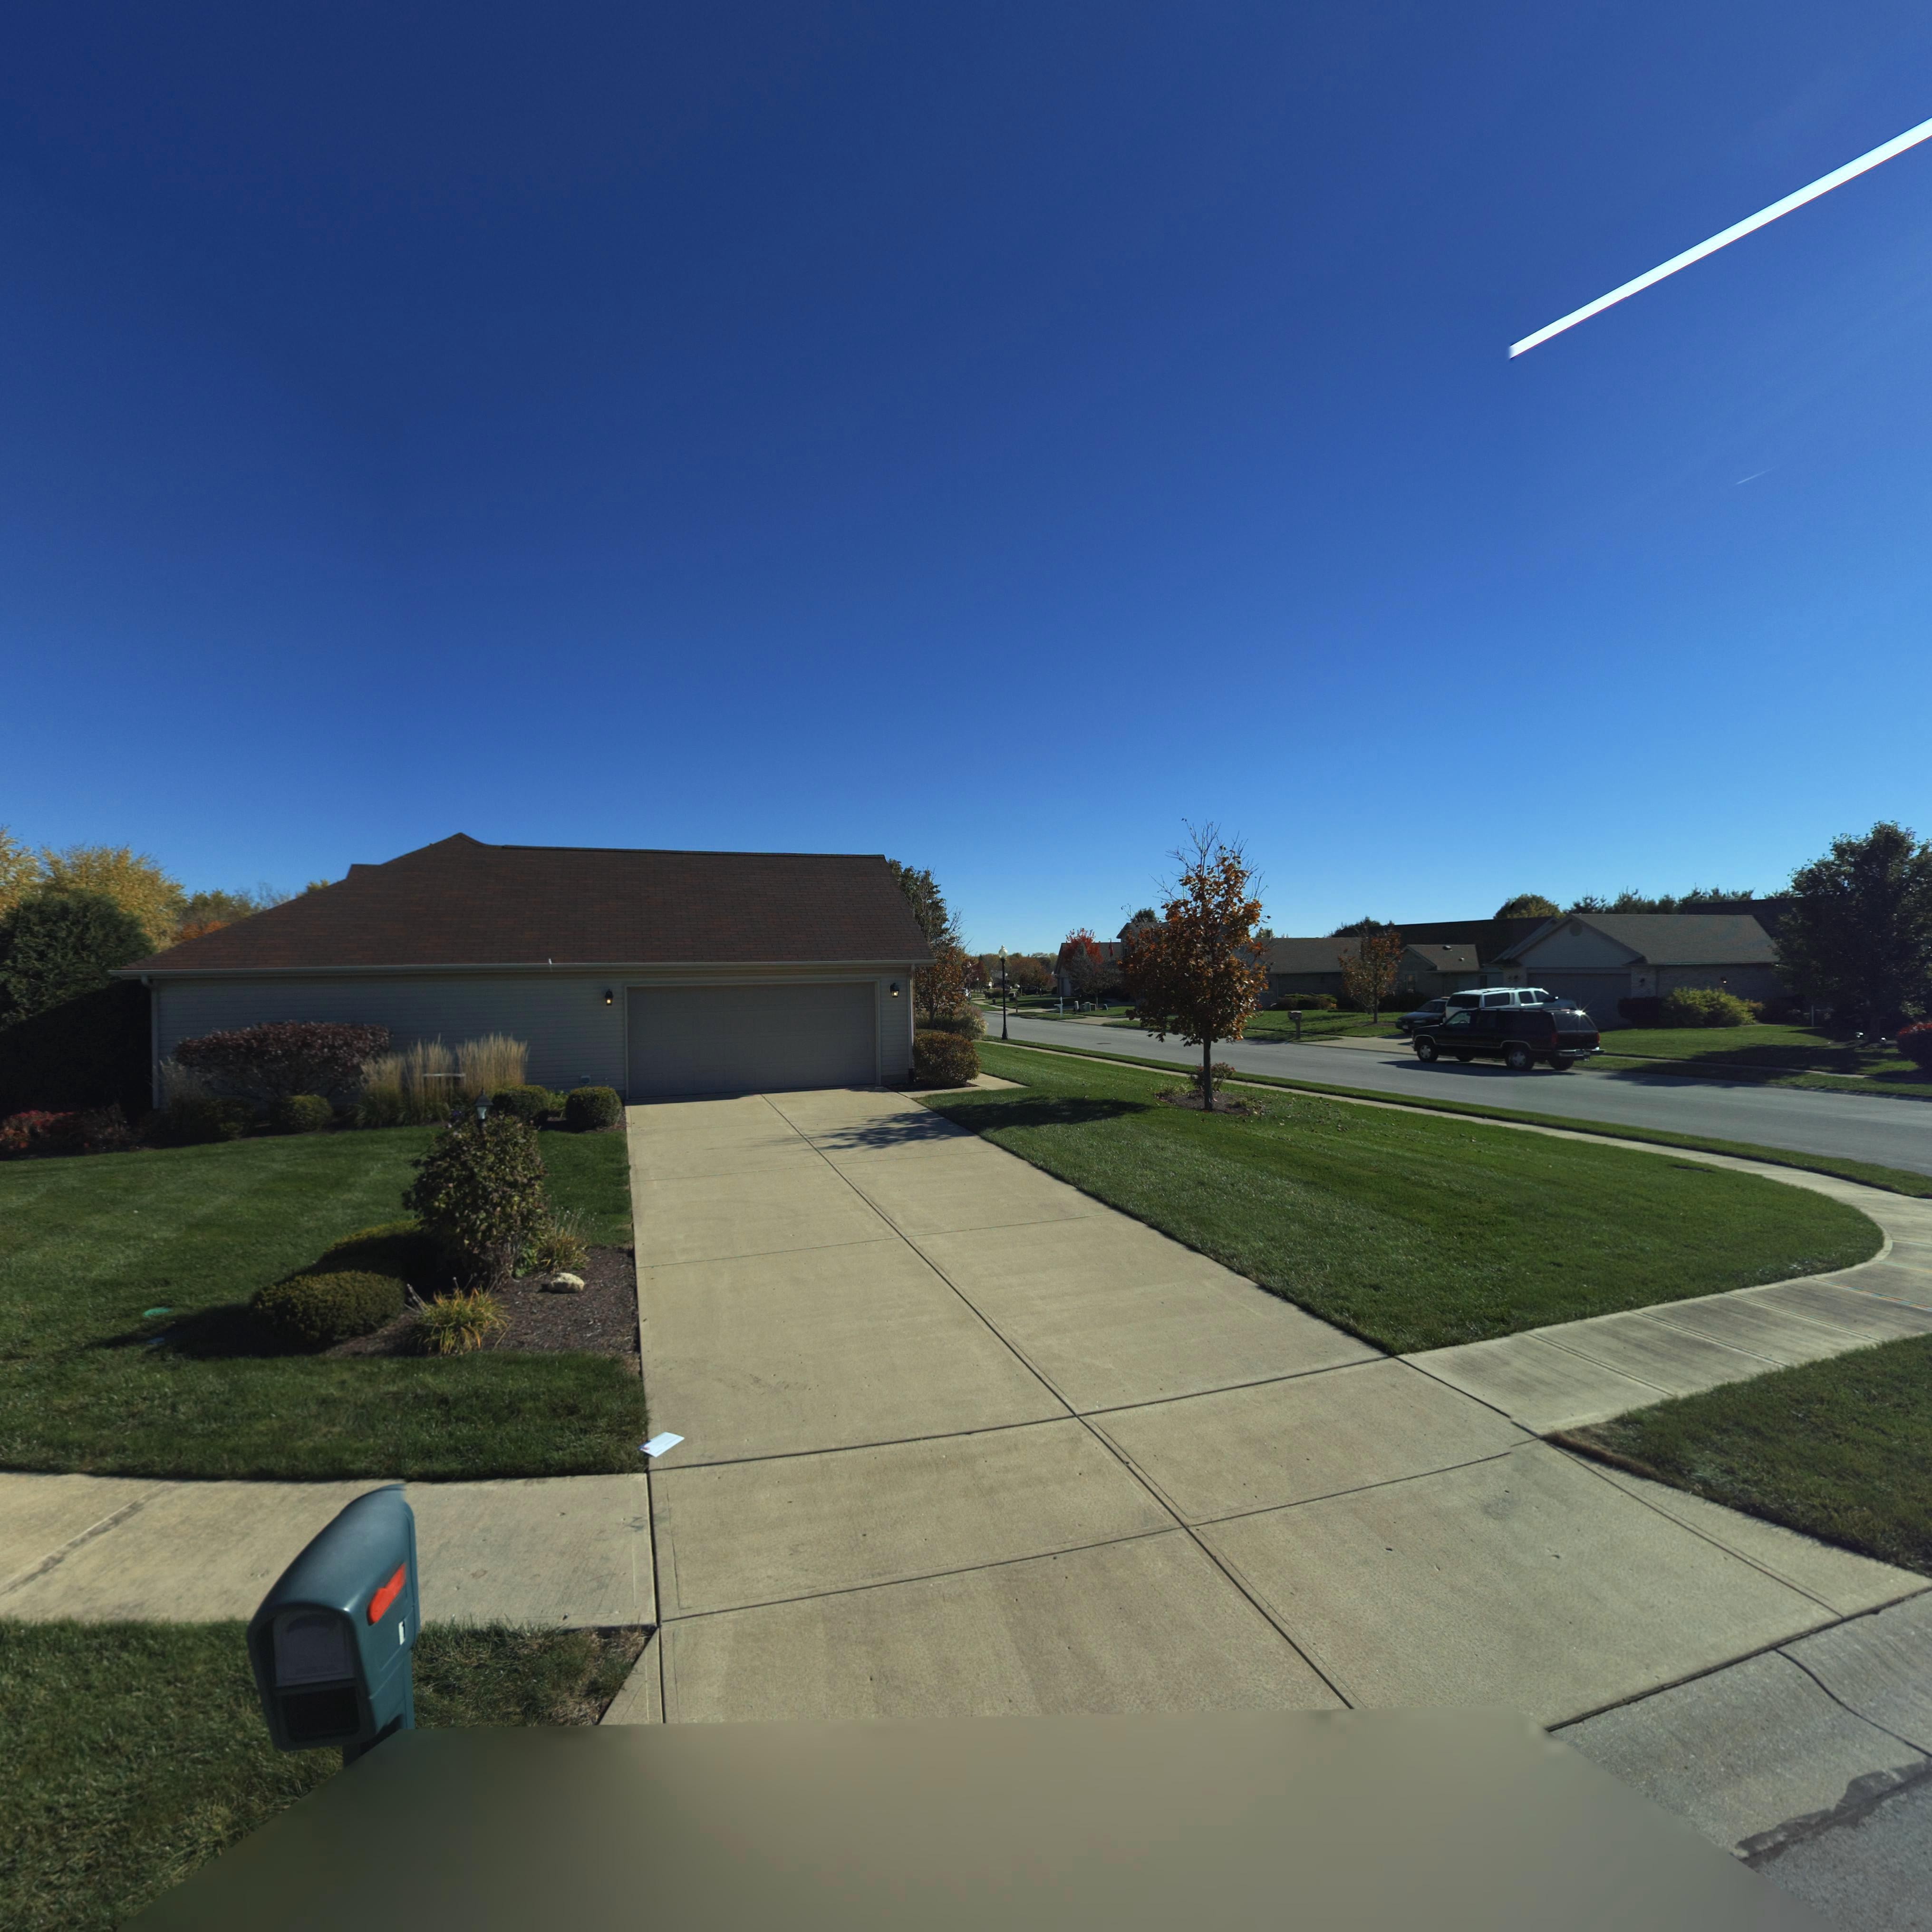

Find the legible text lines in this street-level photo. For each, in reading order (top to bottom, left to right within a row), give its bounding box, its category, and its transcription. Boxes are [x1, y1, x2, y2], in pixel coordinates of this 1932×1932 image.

[400, 1617, 406, 1642] StreetNumber: 1